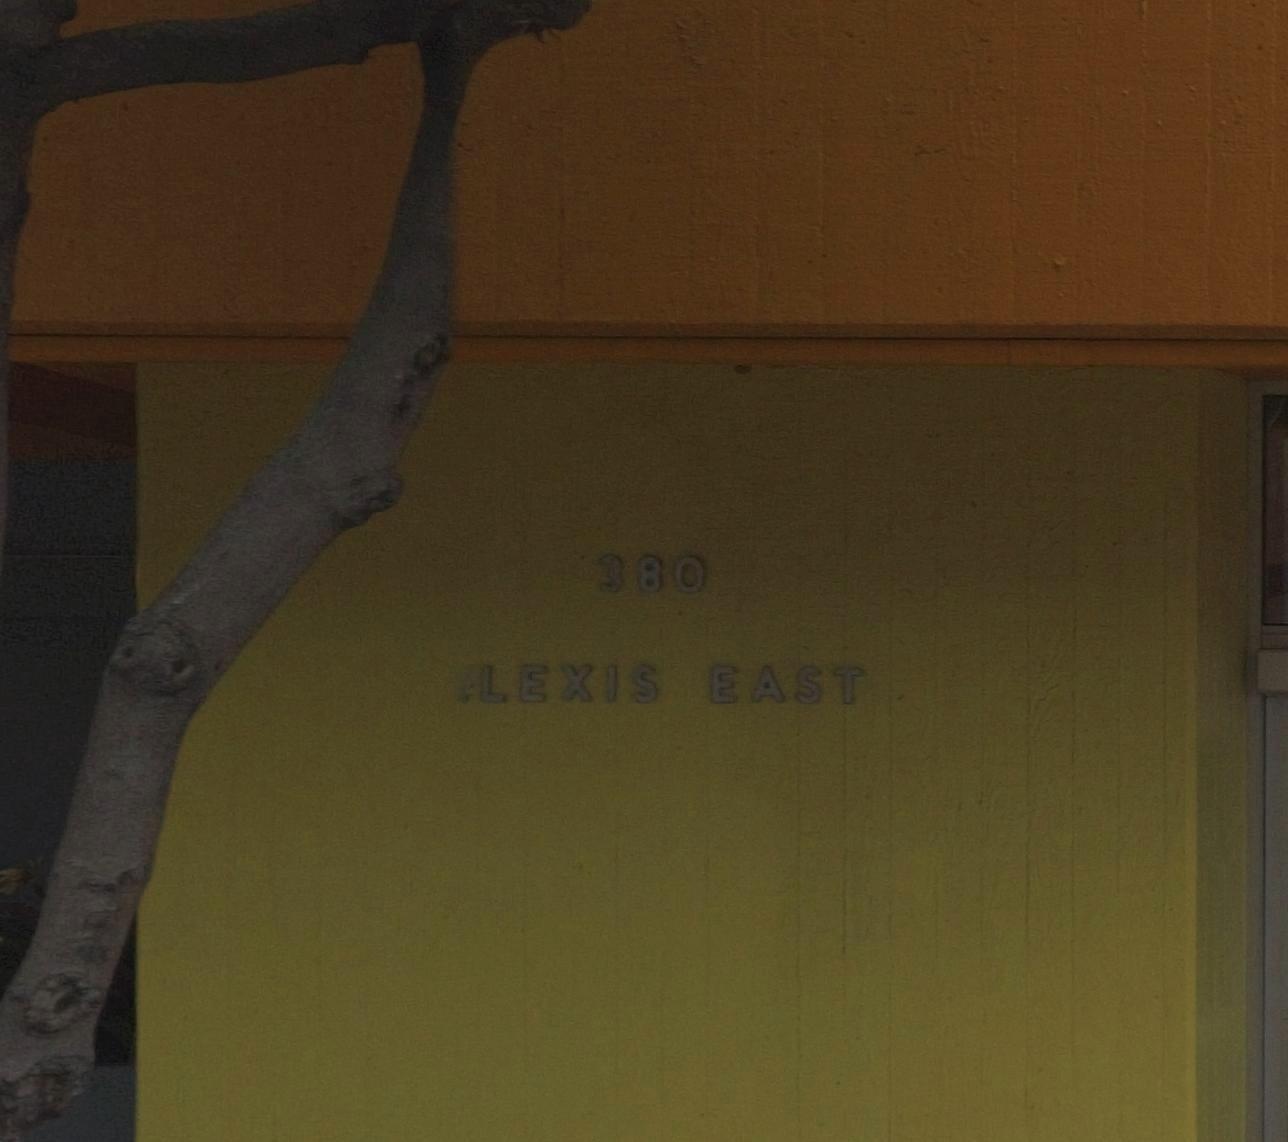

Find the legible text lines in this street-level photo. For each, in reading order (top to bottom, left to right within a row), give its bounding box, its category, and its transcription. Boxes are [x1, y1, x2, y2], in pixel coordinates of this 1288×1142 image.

[597, 552, 707, 596] StreetNumber: 380
[476, 661, 868, 709] StreetName: LEXIS EAST